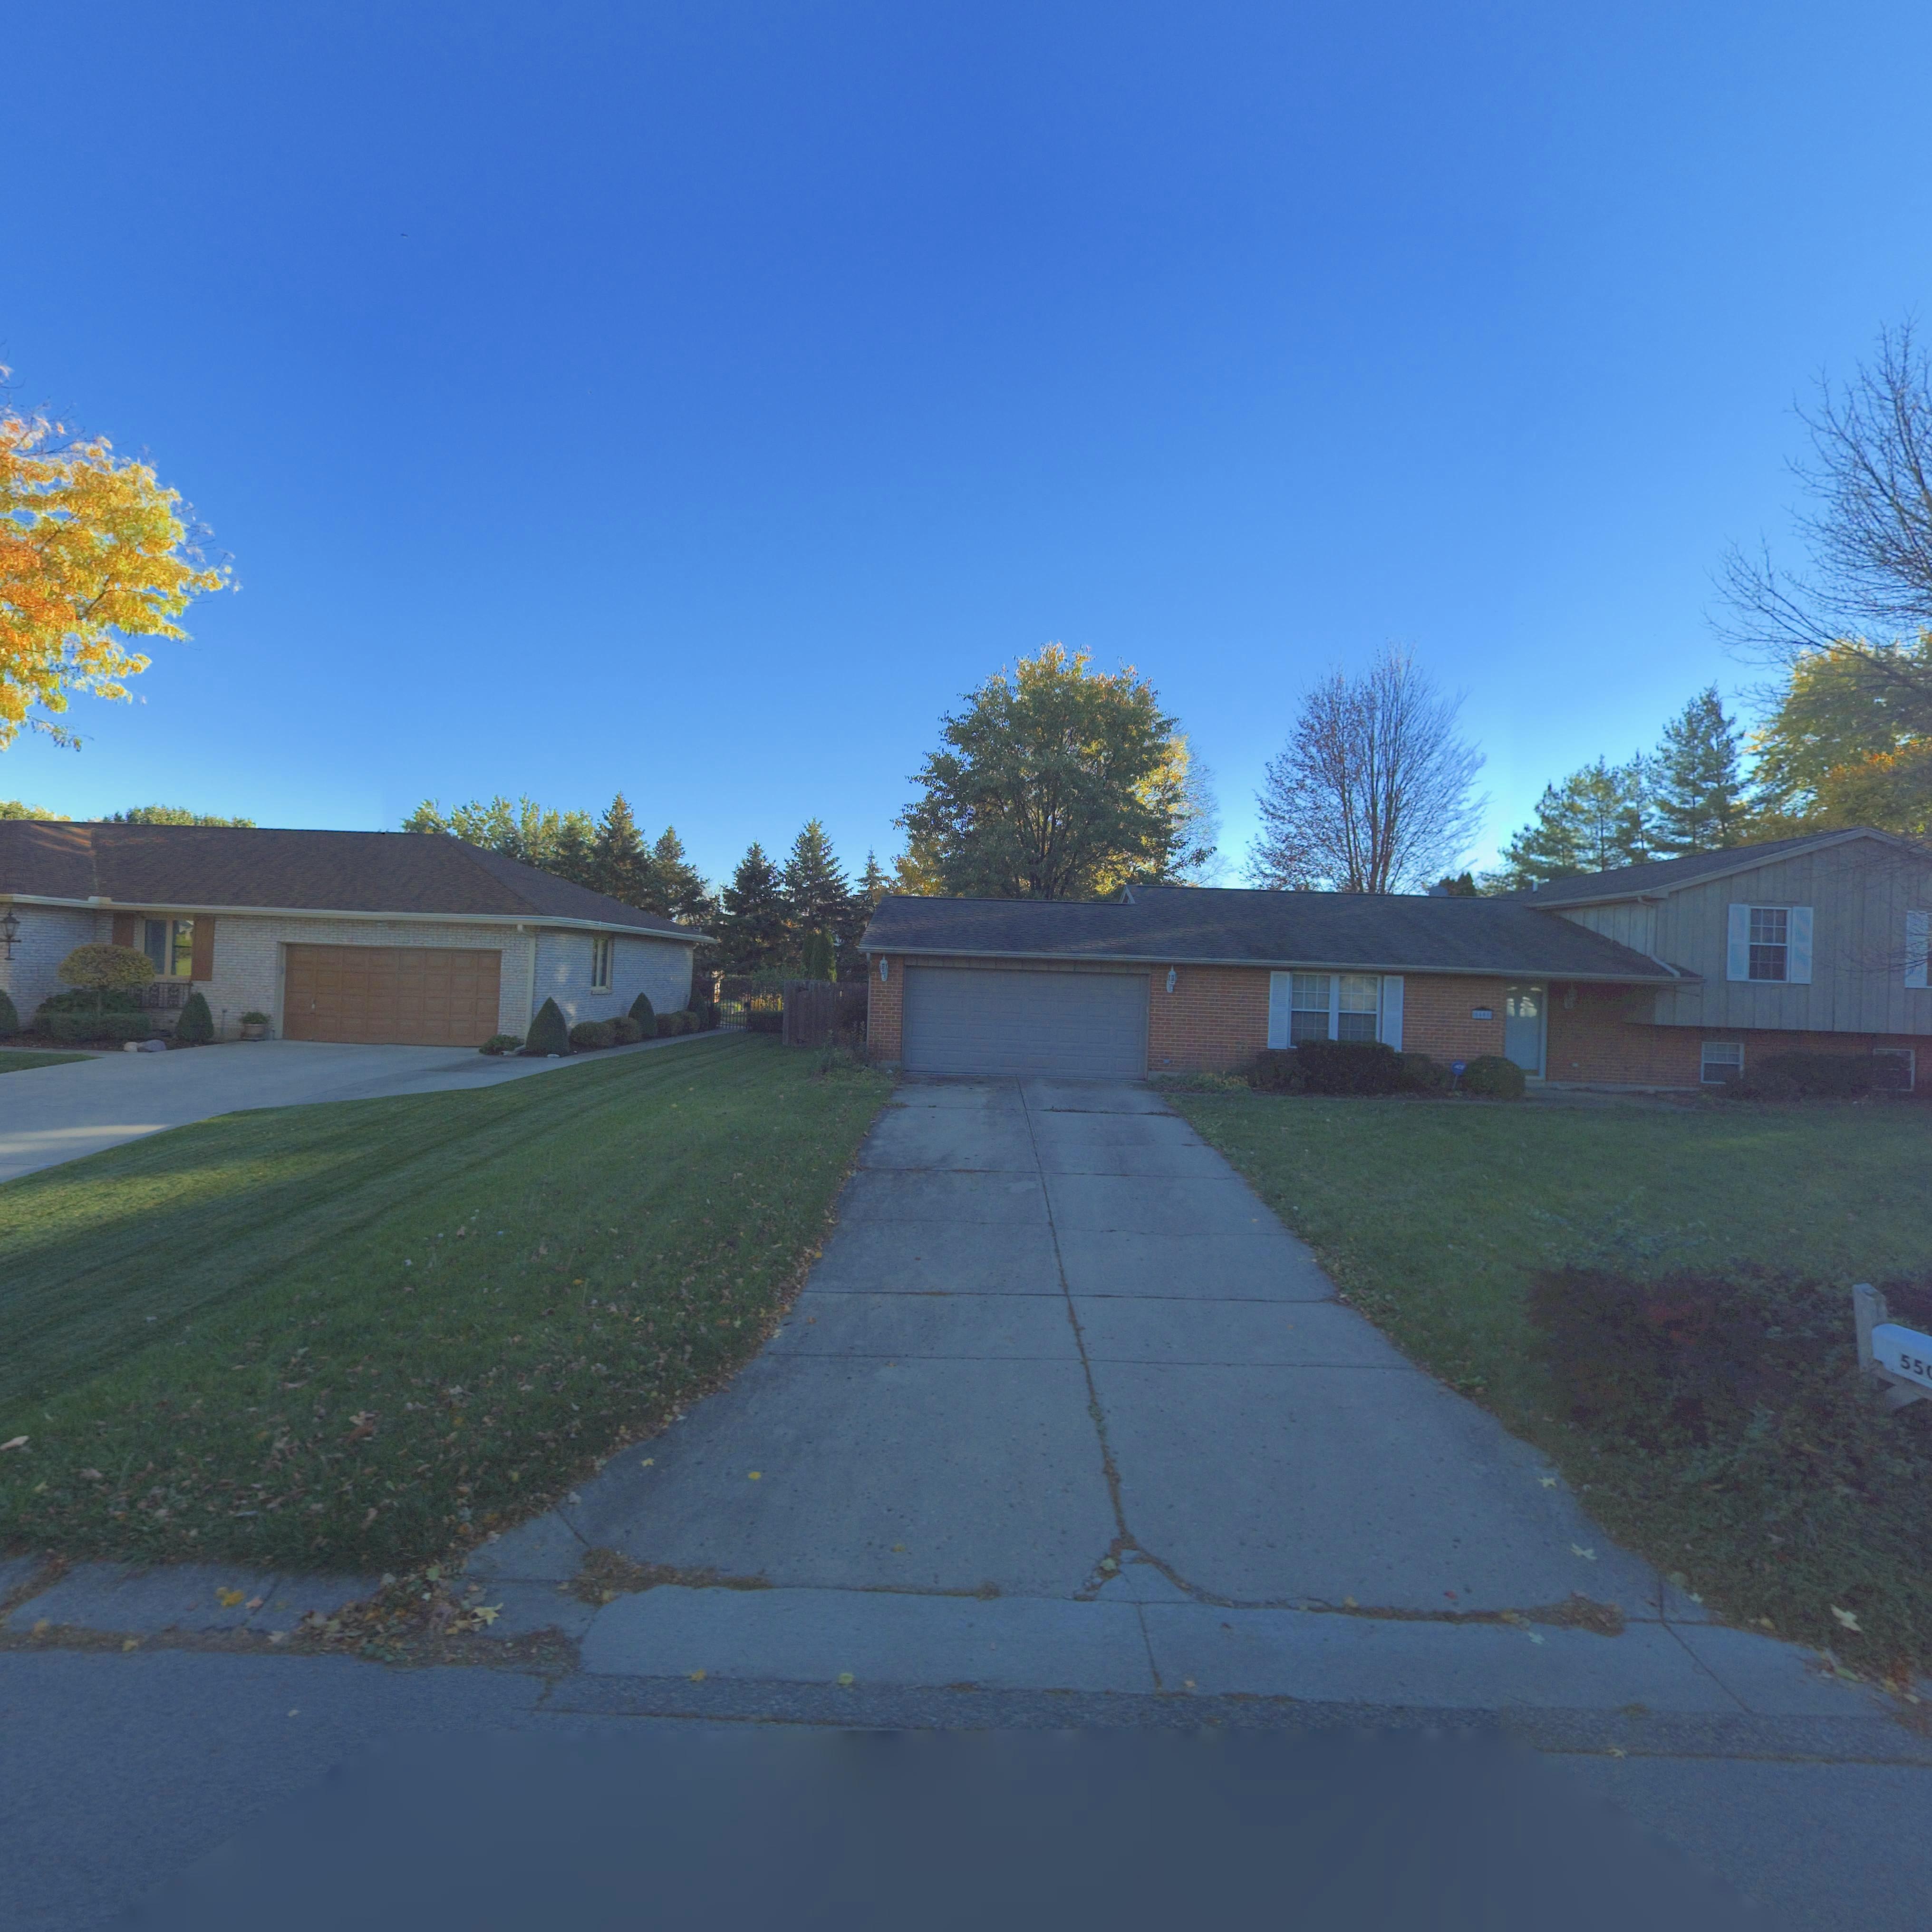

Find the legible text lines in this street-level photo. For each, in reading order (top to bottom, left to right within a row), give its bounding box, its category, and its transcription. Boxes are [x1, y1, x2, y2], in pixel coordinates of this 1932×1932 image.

[1899, 1352, 1924, 1377] StreetNumber: 55